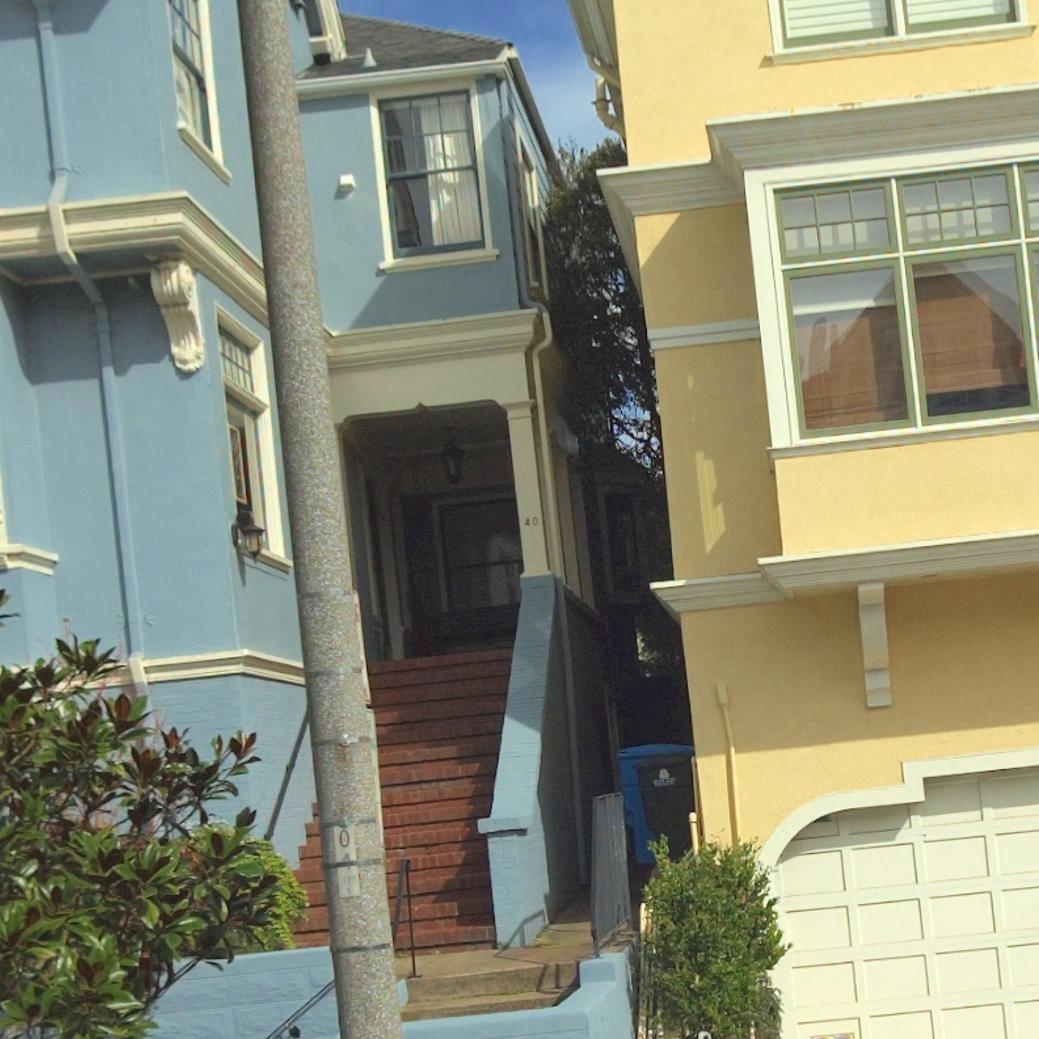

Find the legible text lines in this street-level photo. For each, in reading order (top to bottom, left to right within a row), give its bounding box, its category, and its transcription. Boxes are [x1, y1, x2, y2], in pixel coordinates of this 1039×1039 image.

[524, 515, 540, 528] StreetNumber: 40
[336, 827, 351, 848] None: 0